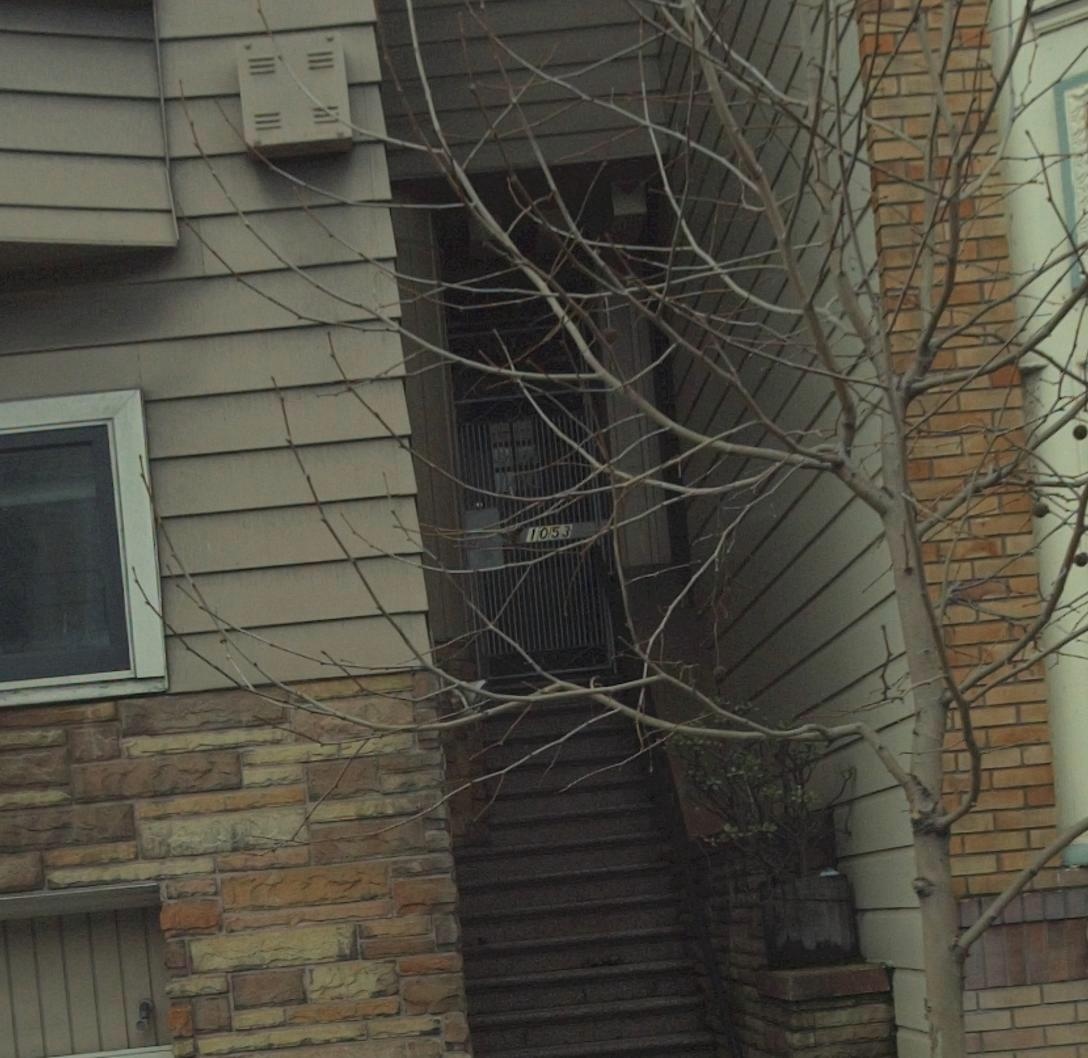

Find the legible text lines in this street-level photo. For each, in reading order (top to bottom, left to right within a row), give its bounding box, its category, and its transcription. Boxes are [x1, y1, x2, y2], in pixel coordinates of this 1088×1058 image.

[529, 524, 572, 542] StreetNumber: 1053